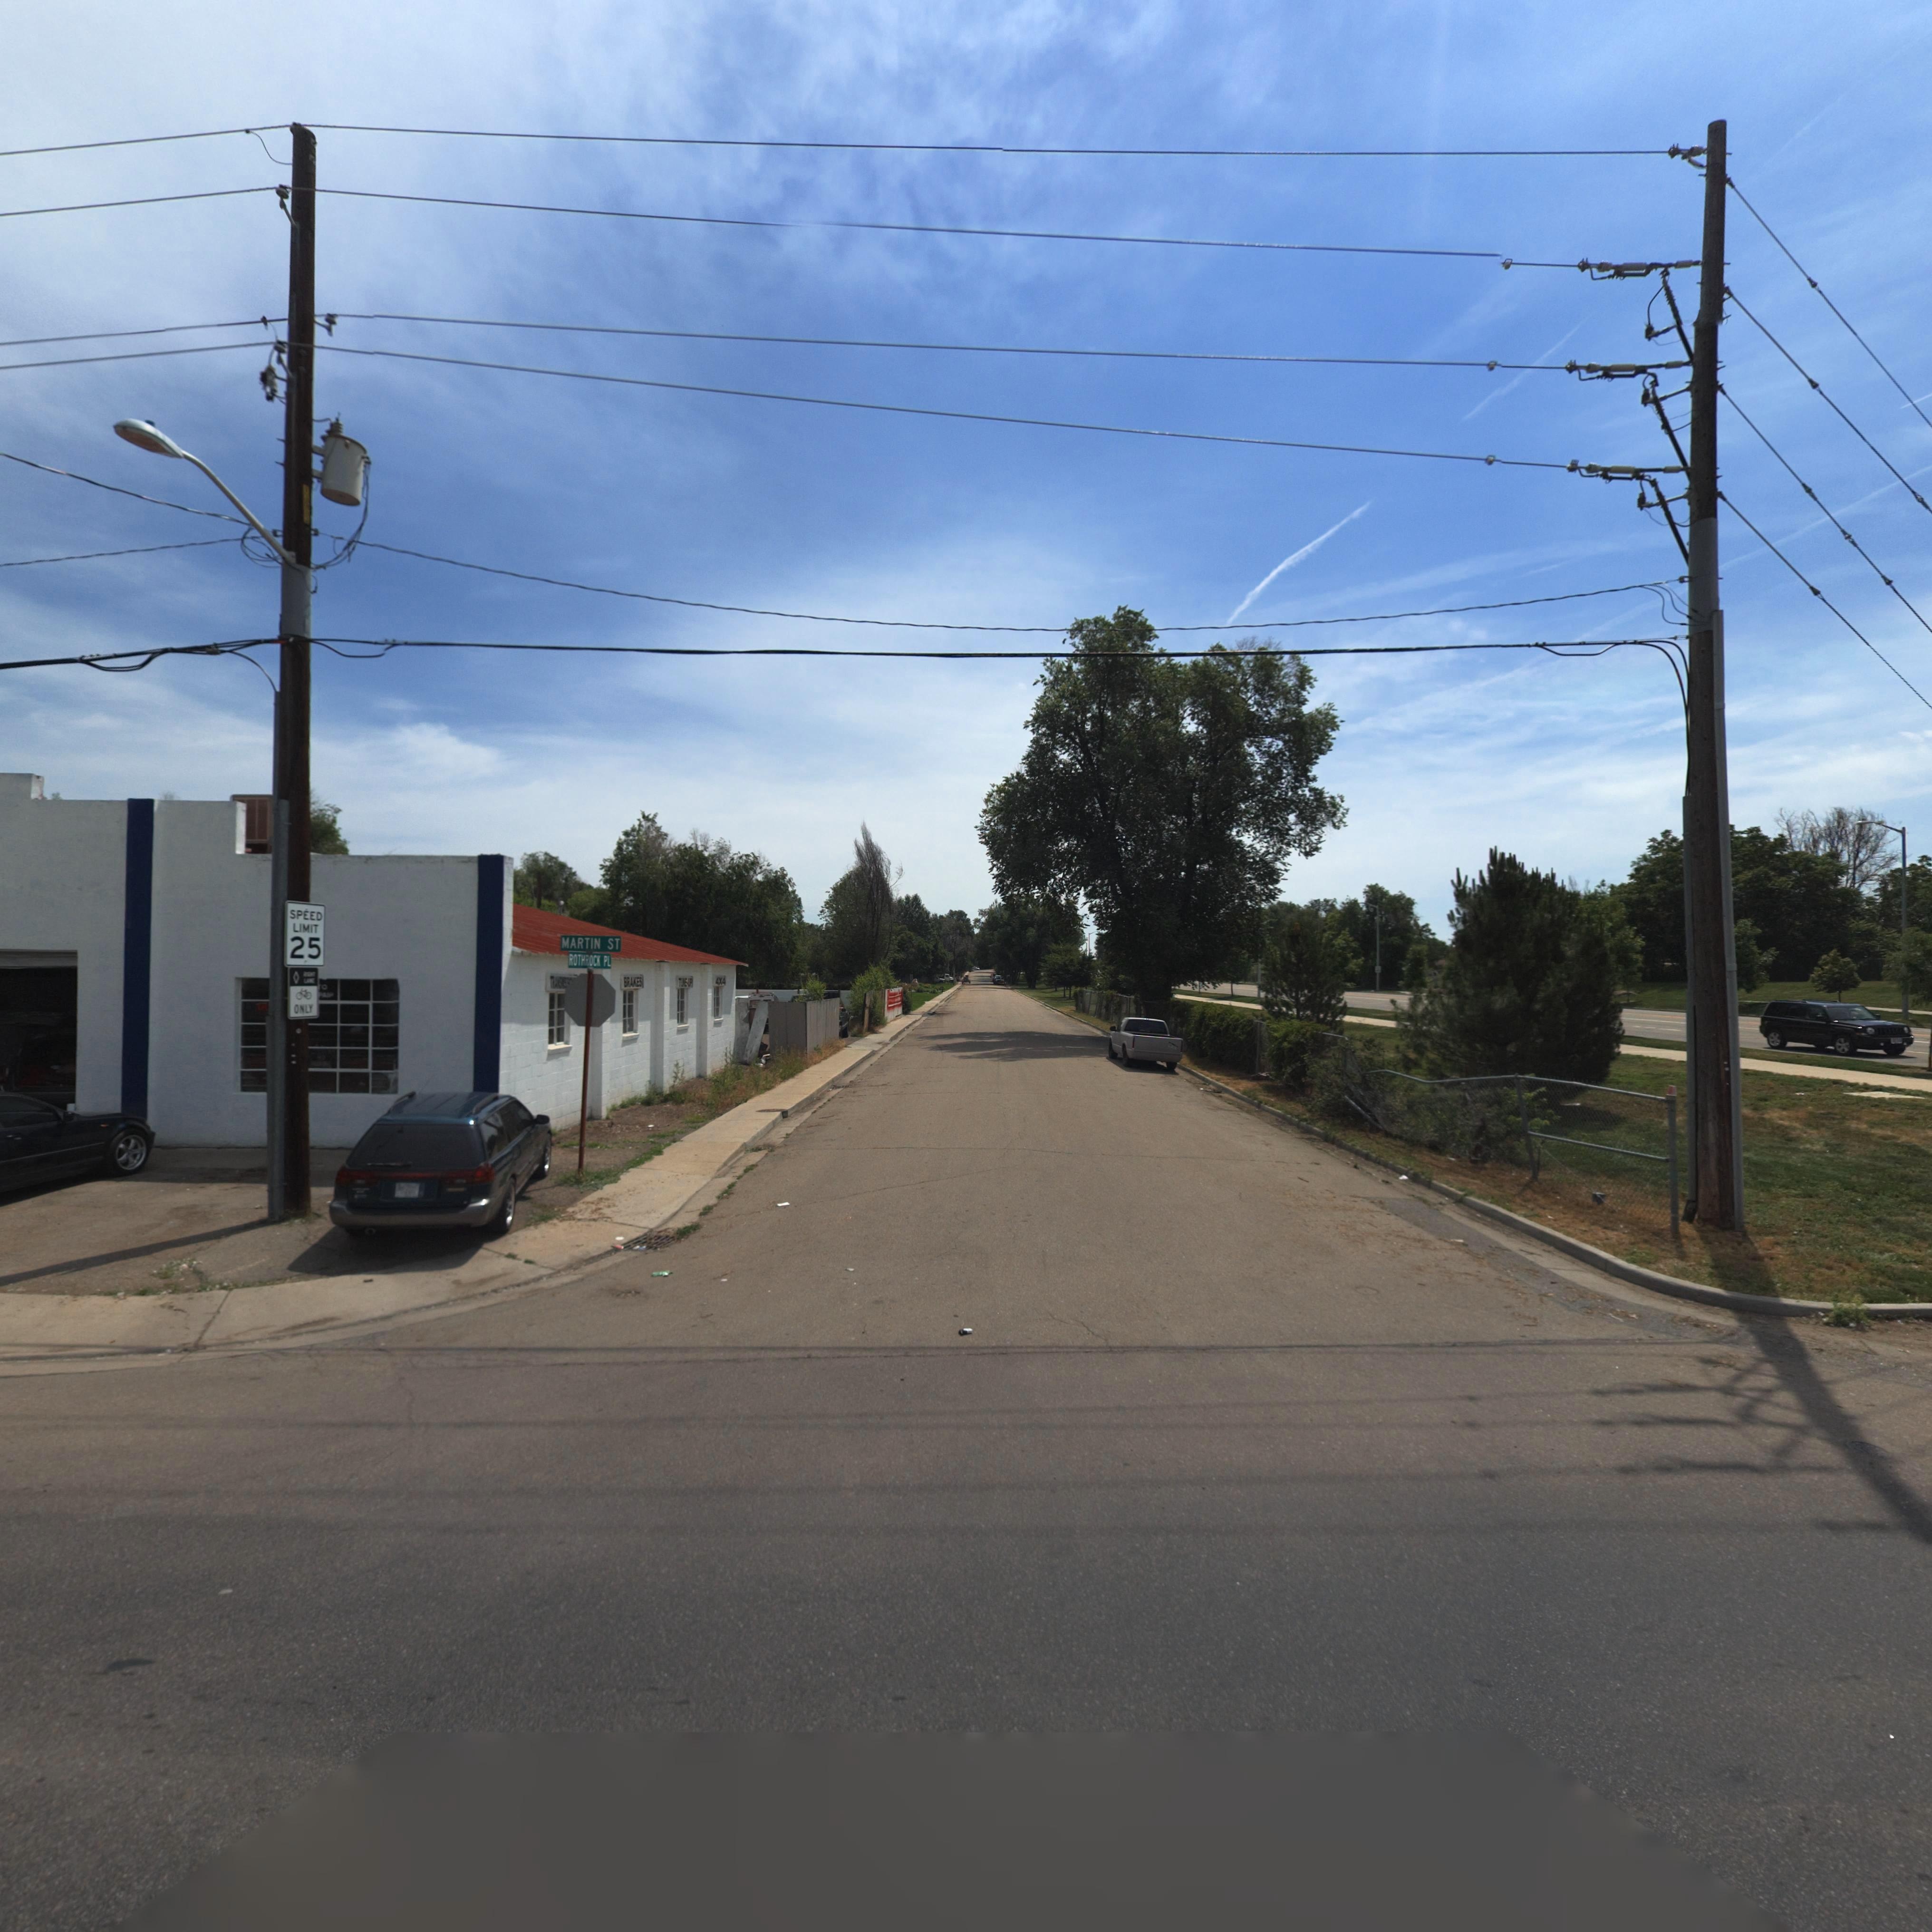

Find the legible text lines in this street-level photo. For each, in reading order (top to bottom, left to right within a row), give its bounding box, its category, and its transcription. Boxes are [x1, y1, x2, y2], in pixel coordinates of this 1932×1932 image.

[561, 937, 620, 950] StreetName: MARTIN ST
[568, 953, 611, 967] StreetName: ROTHROCK PL